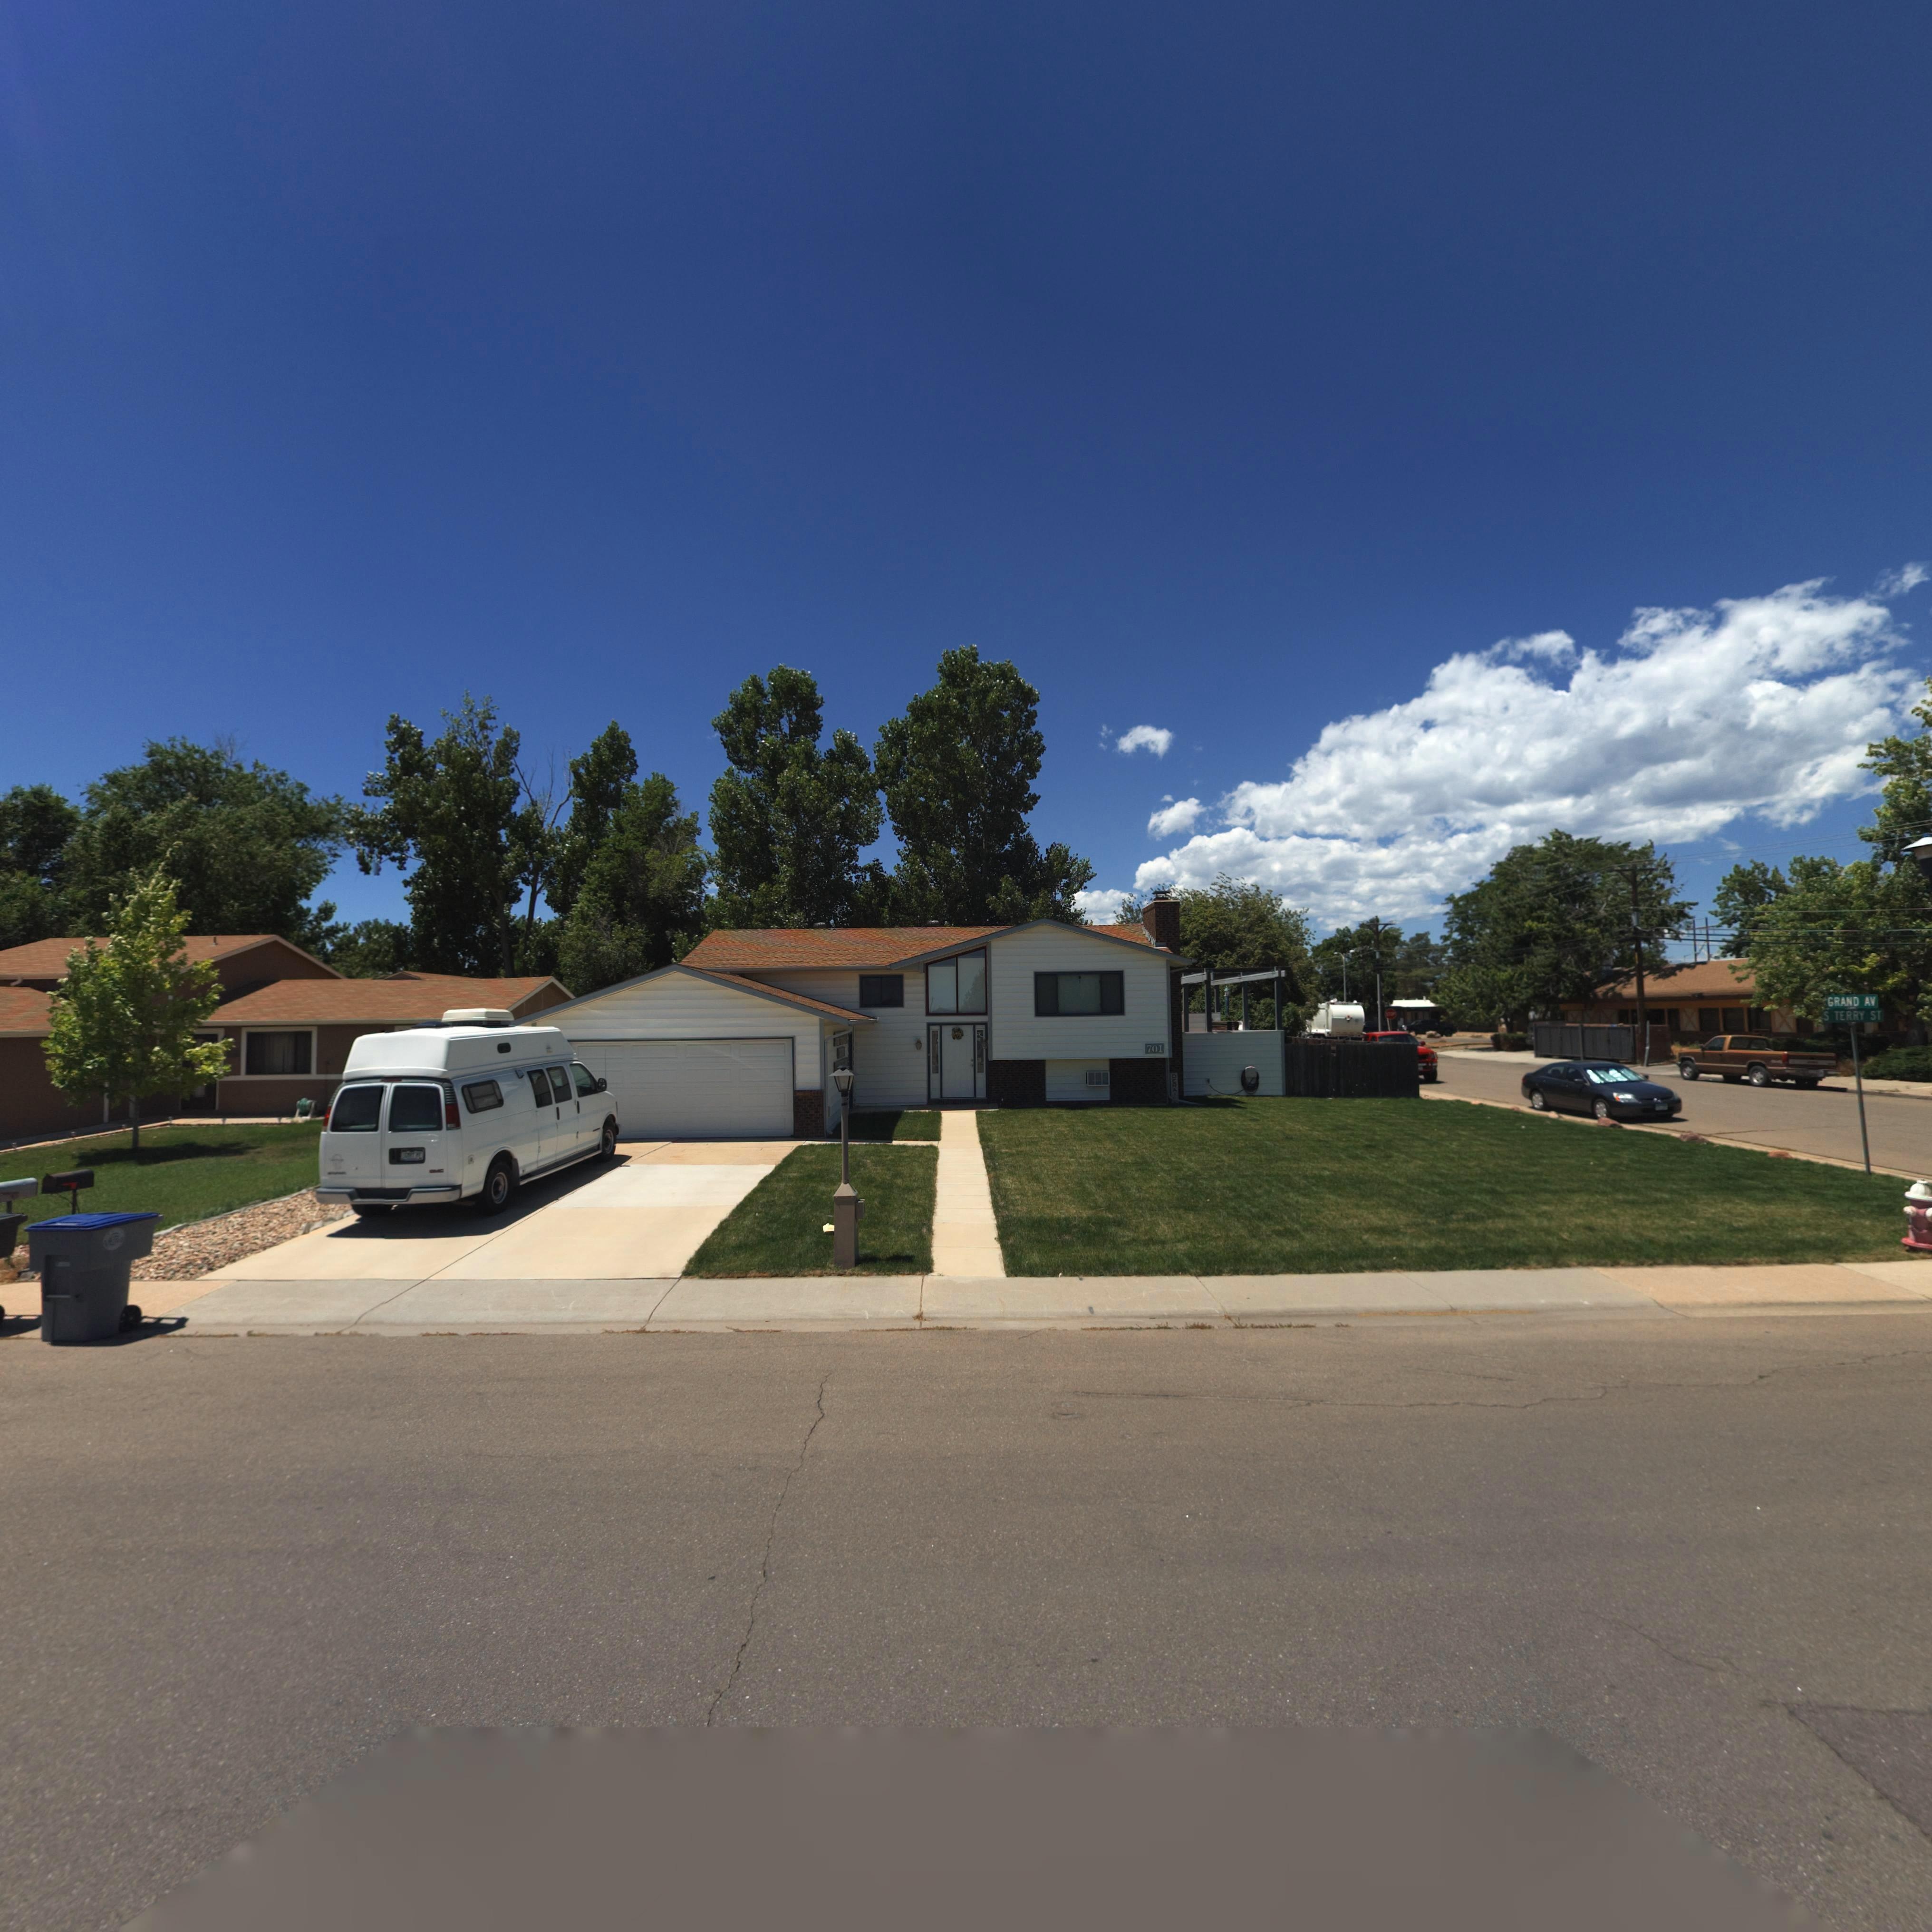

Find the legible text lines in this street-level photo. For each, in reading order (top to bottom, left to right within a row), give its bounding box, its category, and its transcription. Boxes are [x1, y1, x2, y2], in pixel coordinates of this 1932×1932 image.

[1827, 995, 1876, 1007] StreetName: GRAND AV
[1822, 1010, 1883, 1021] StreetName: S TERRY ST
[1147, 1044, 1163, 1053] StreetNumber: 701